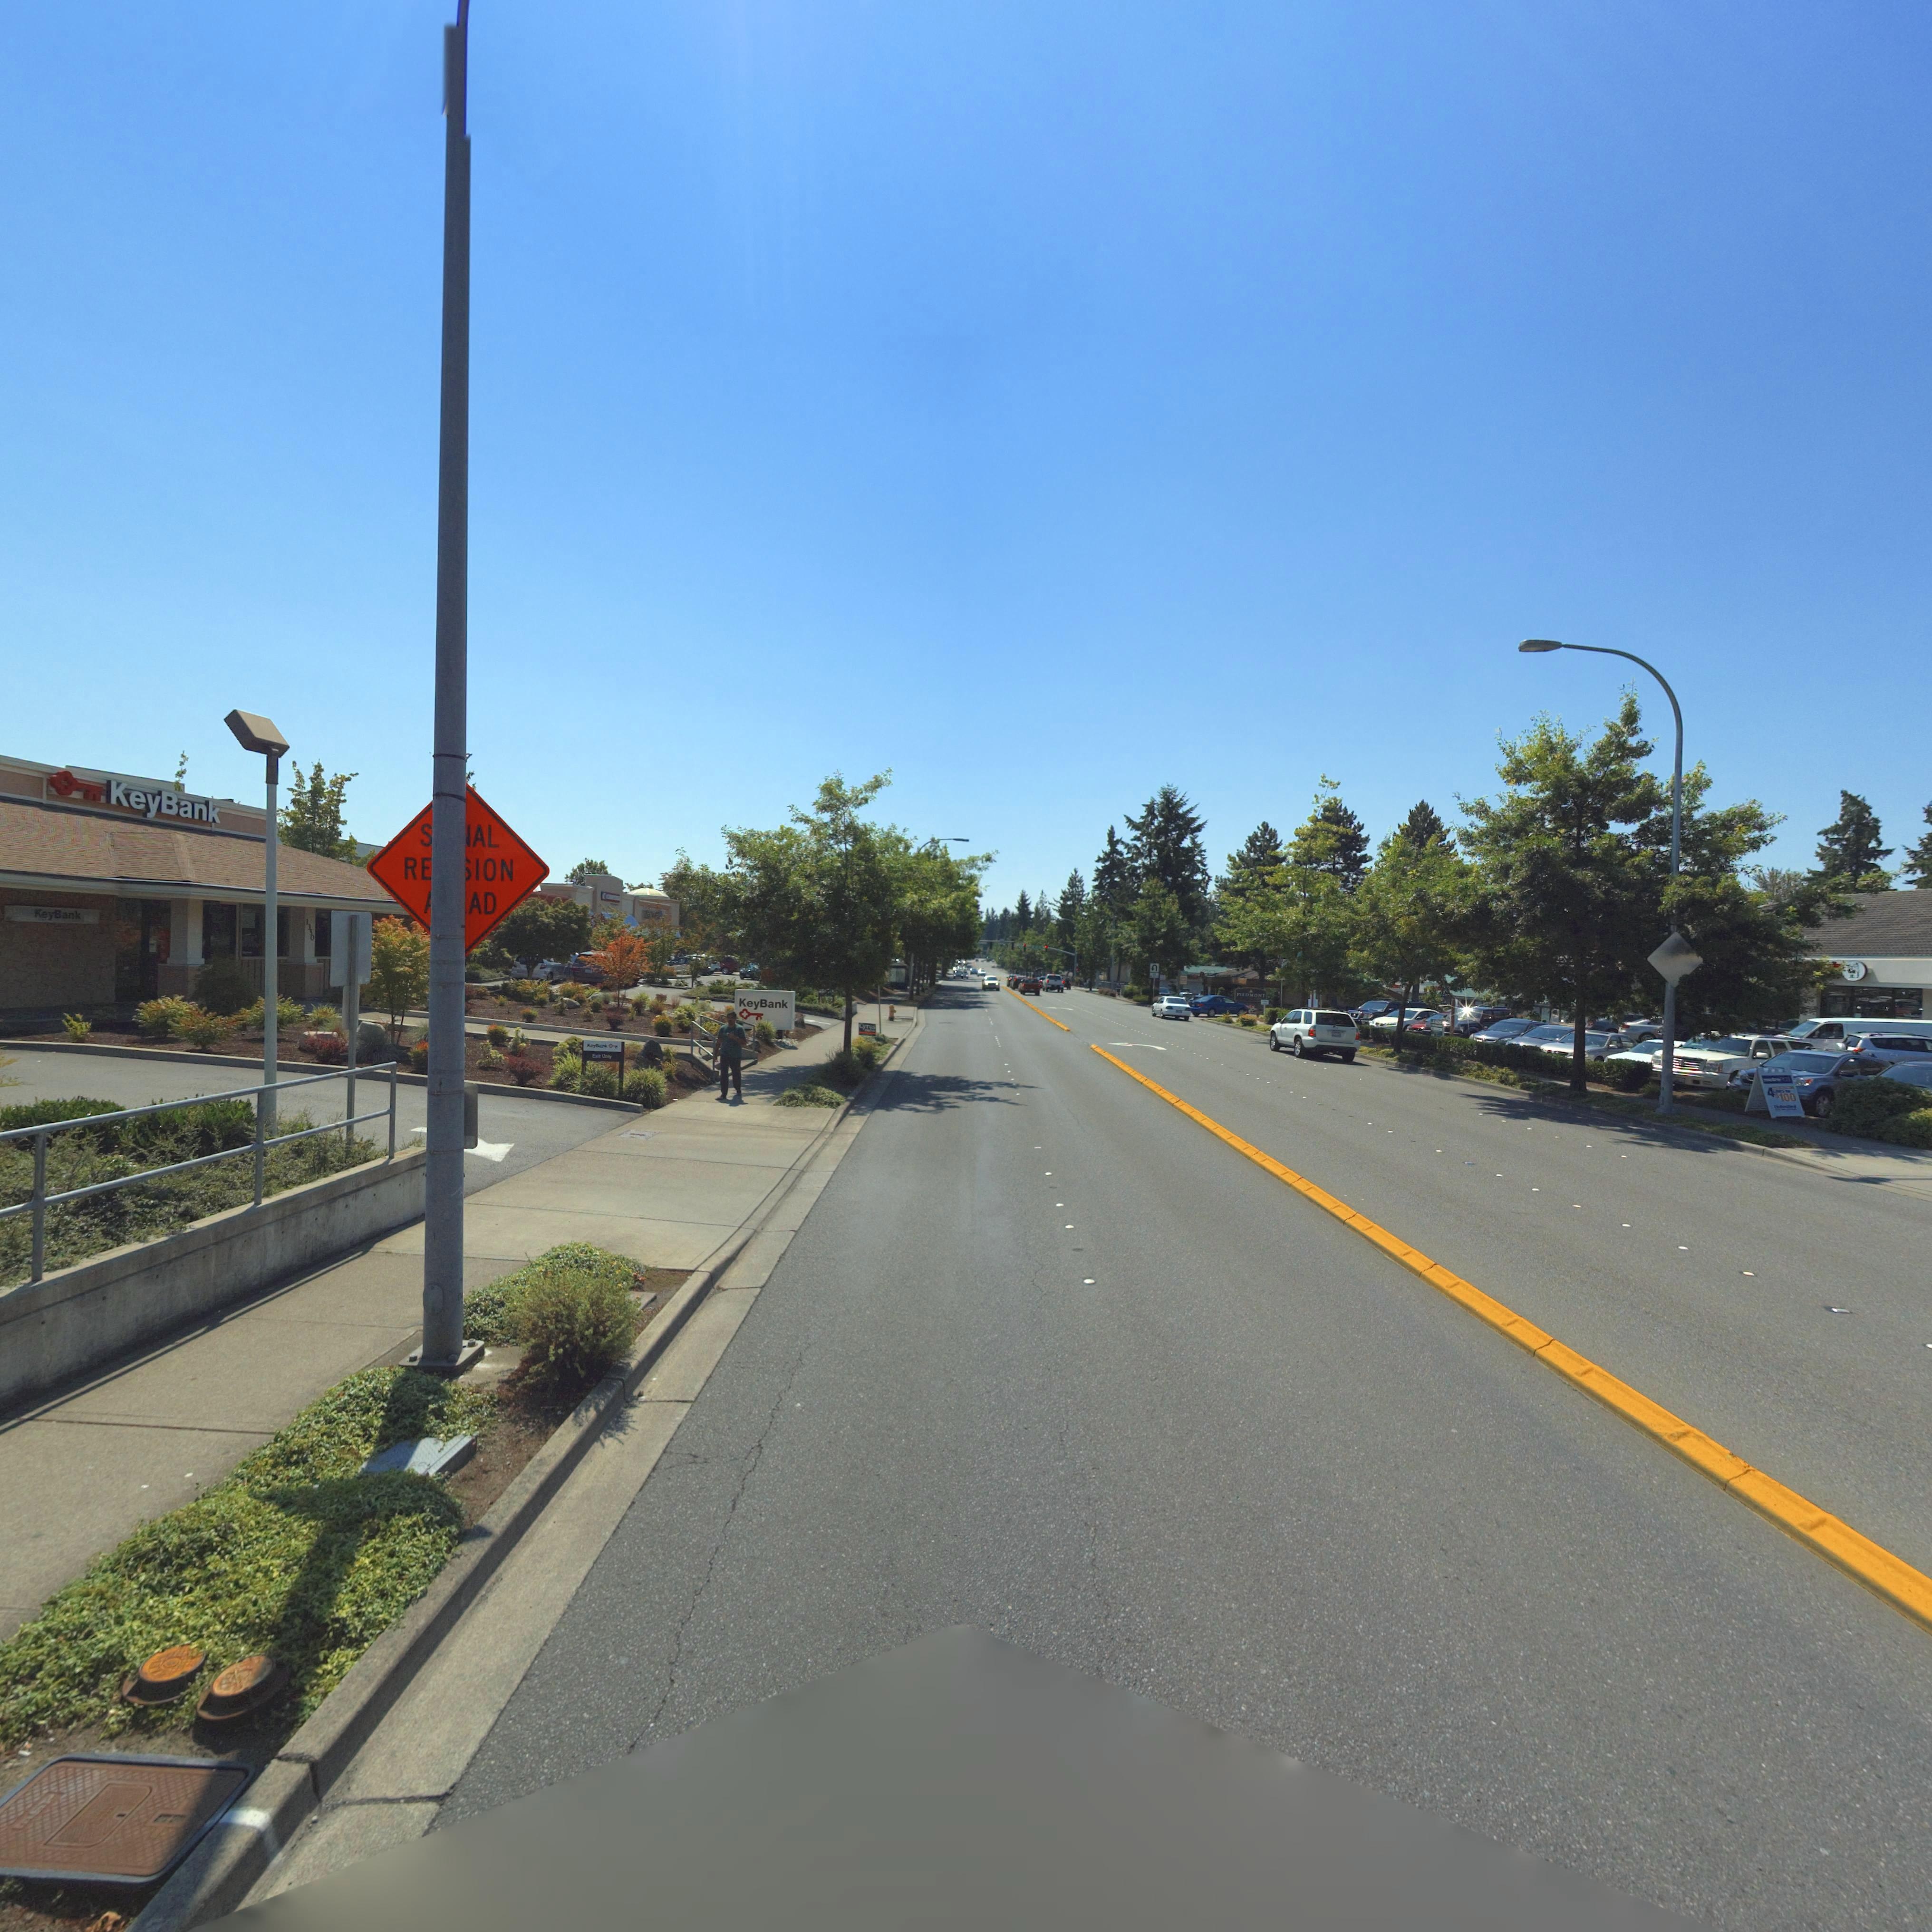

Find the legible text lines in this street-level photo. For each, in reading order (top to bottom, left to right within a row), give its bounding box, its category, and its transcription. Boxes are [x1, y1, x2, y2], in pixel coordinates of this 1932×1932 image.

[109, 779, 223, 825] BusinessName: KeyBank
[34, 908, 81, 921] None: *eyBank
[306, 917, 314, 941] StreetNumber: 1350
[738, 997, 788, 1010] BusinessName: KeyBank